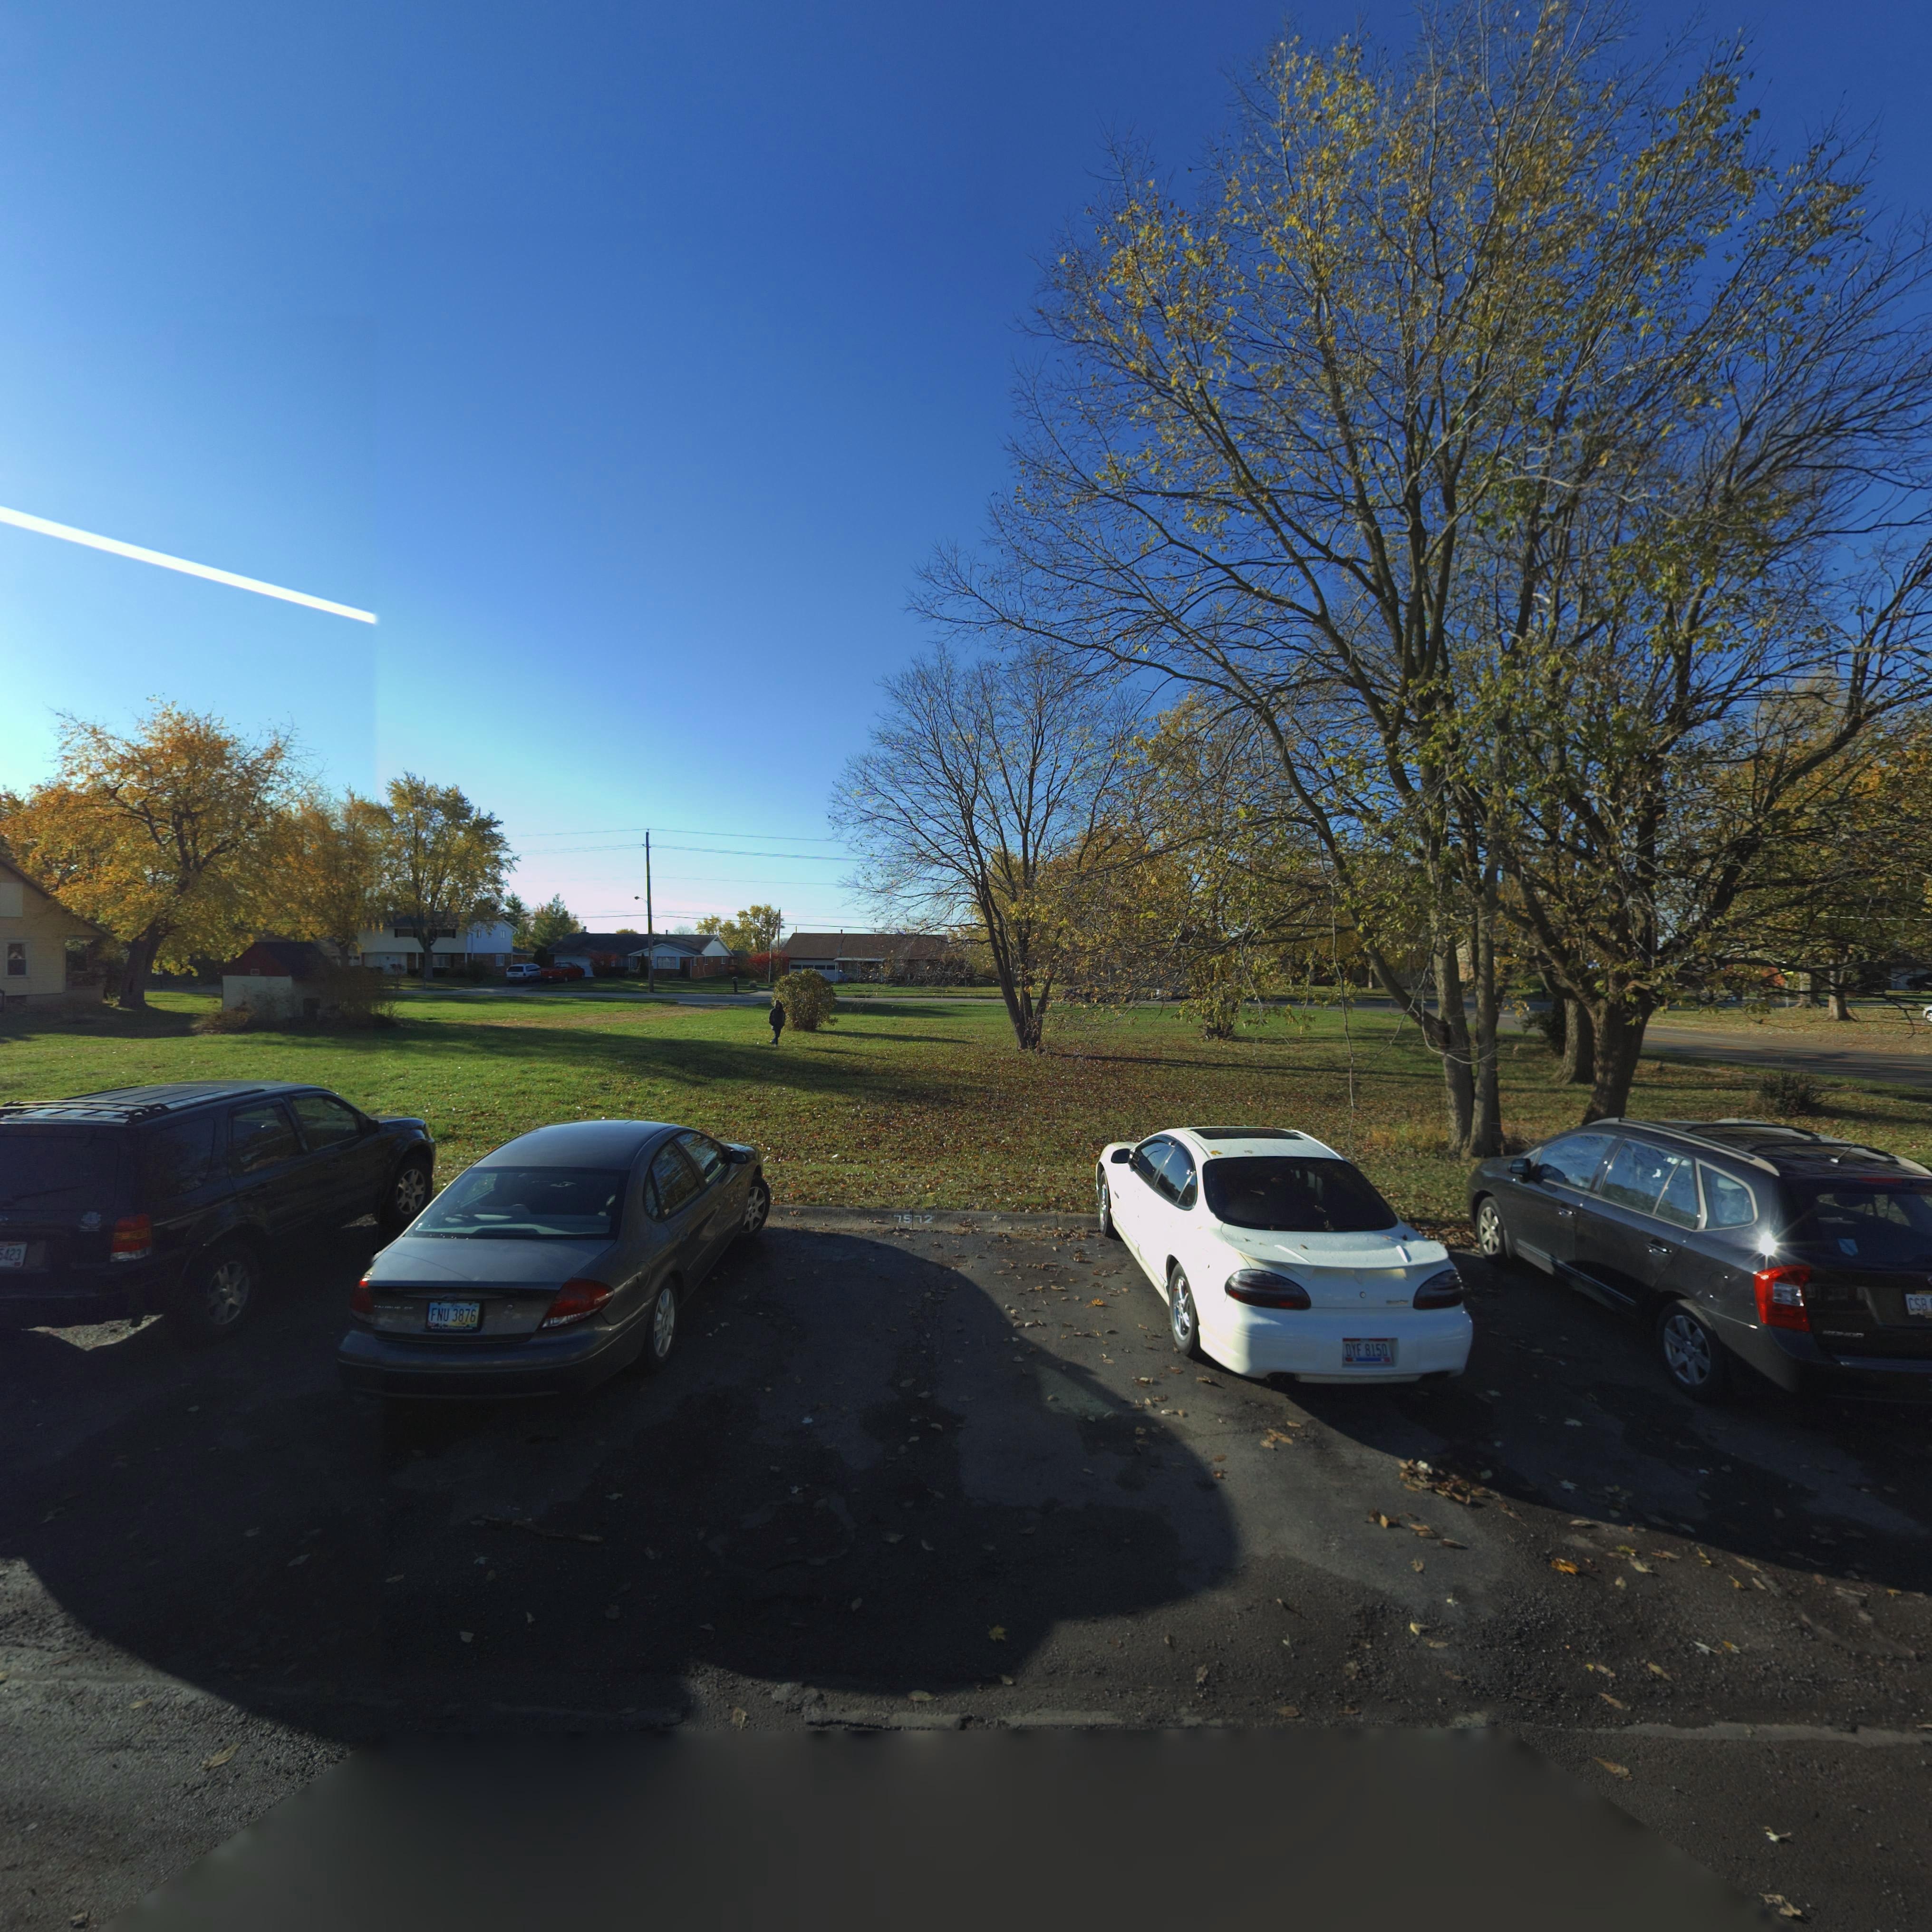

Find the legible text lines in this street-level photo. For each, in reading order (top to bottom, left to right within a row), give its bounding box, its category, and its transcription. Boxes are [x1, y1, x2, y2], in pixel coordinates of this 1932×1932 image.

[892, 1213, 934, 1225] StreetNumber: 7572
[2, 1247, 23, 1264] None: 423
[1906, 1295, 1928, 1313] None: CSB
[429, 1307, 479, 1325] None: FNU 3876
[1343, 1341, 1390, 1358] None: DYF 8150